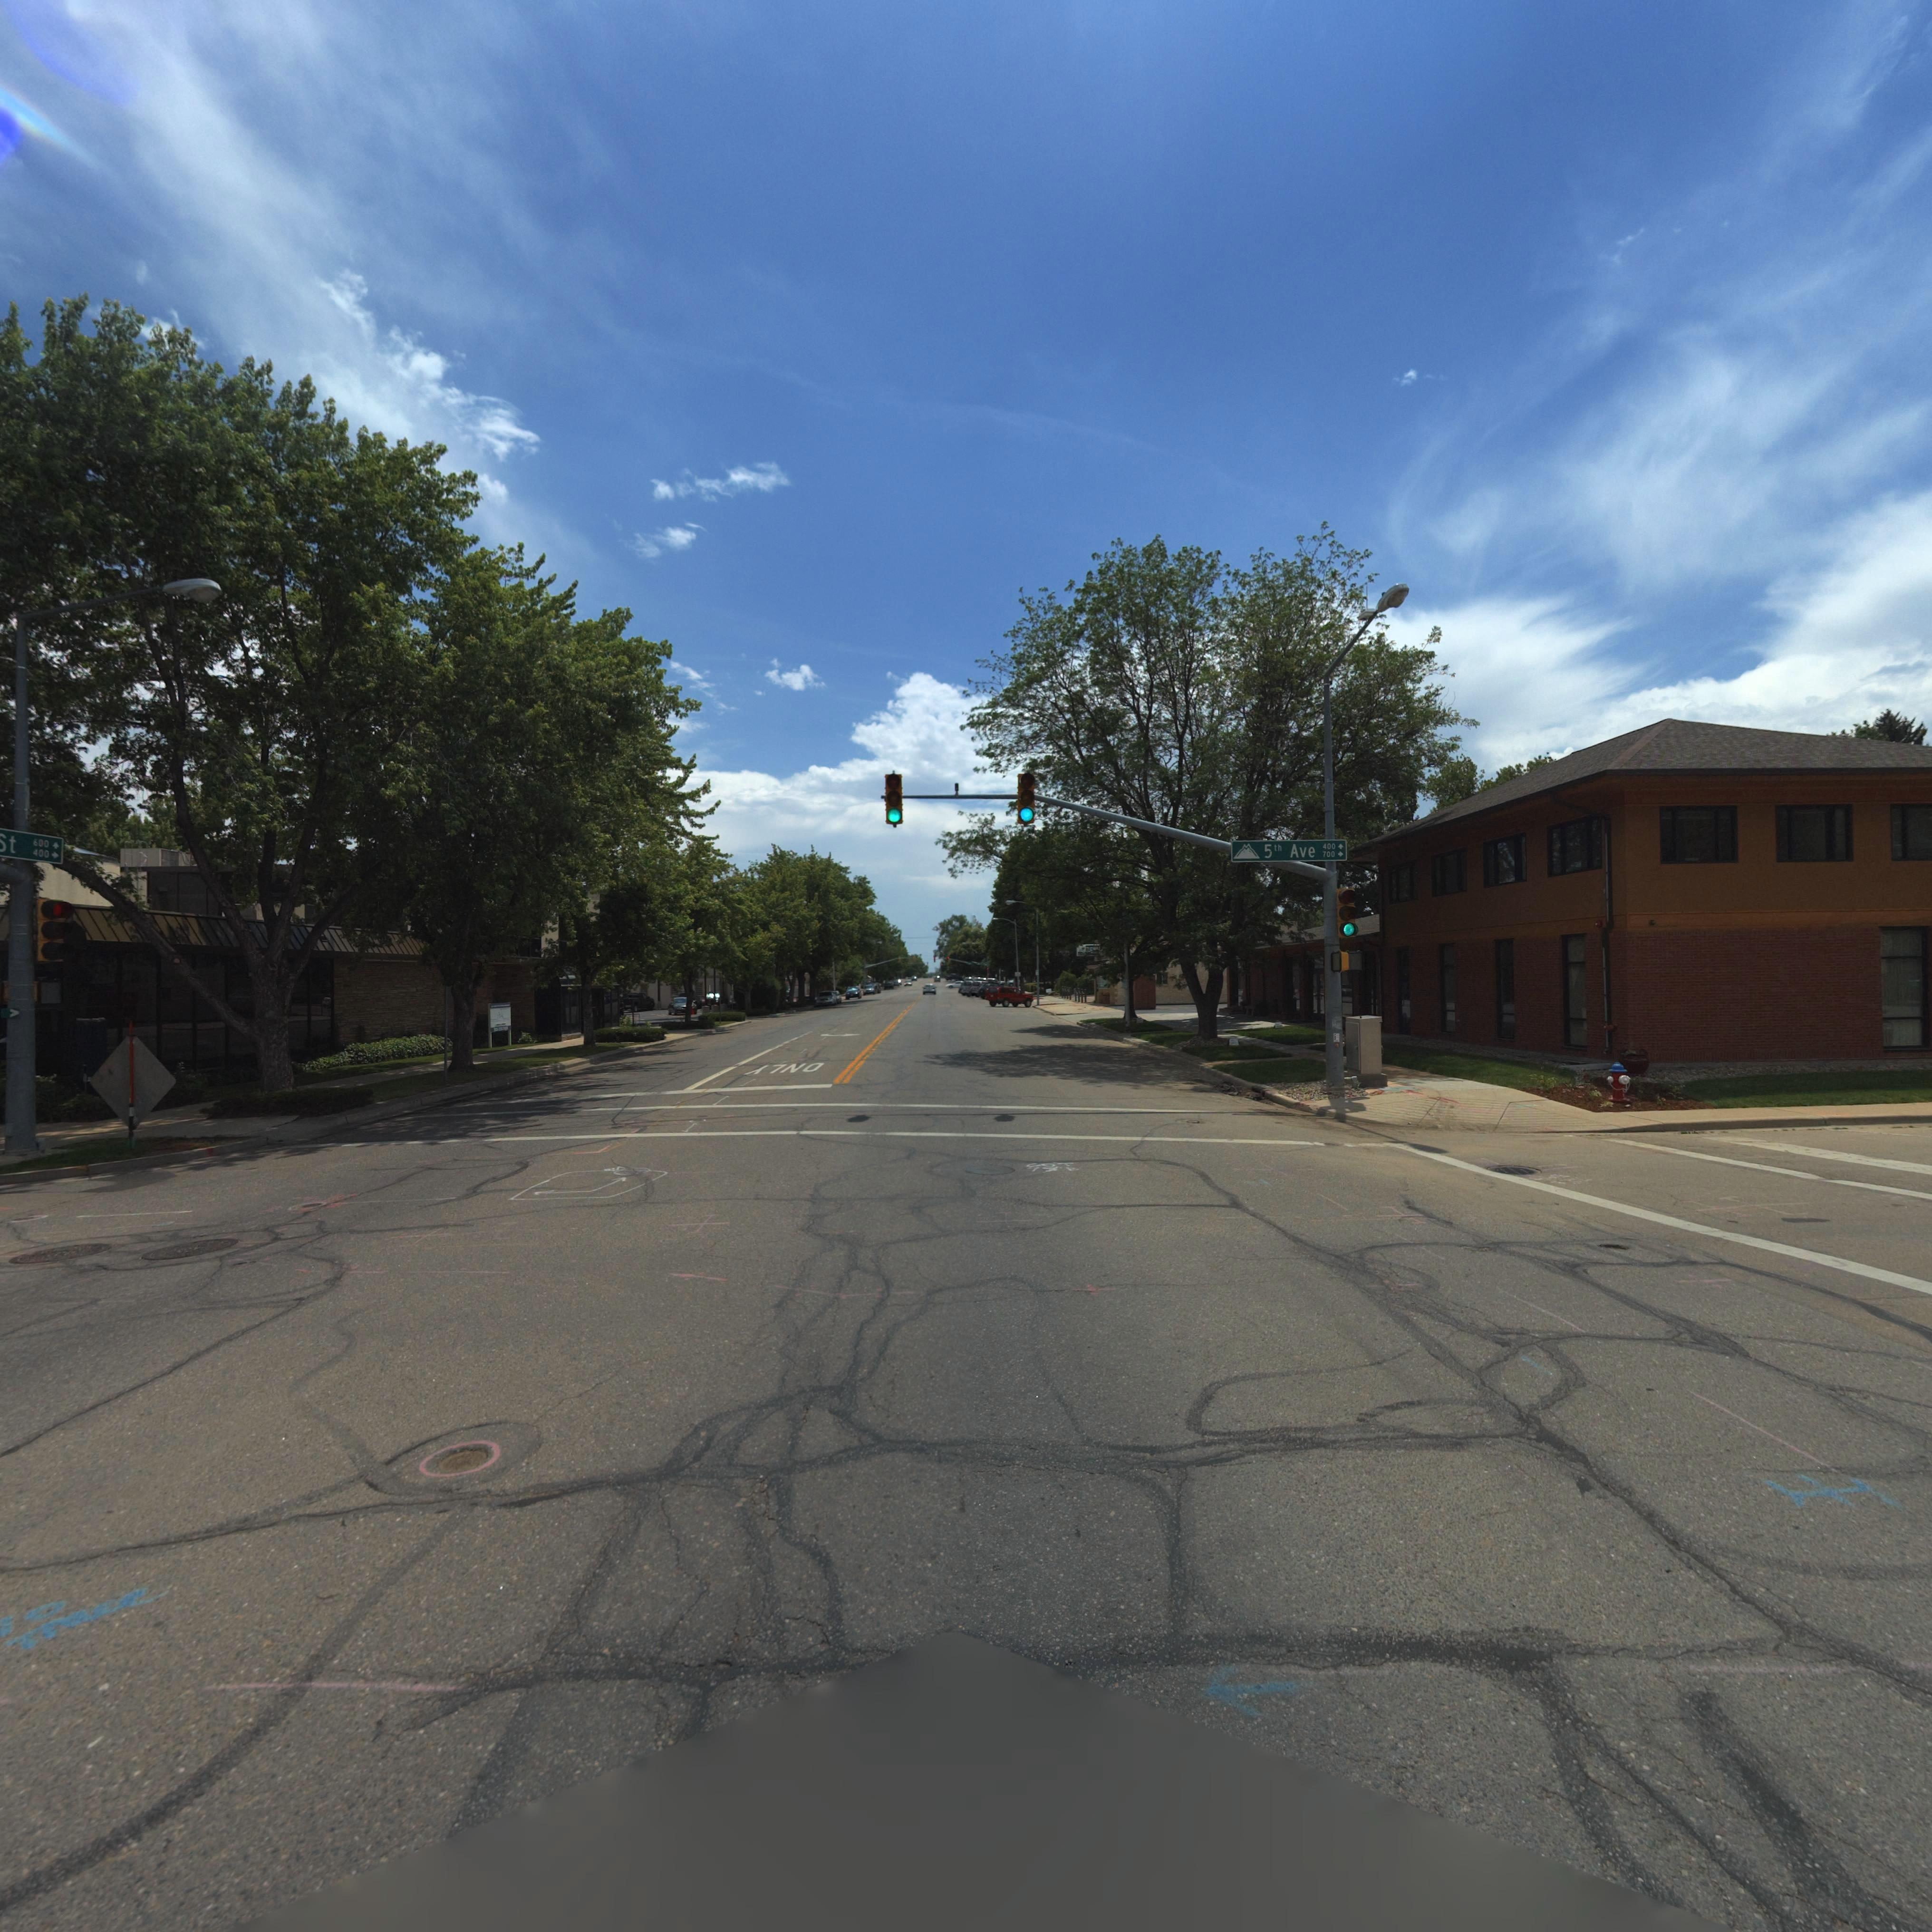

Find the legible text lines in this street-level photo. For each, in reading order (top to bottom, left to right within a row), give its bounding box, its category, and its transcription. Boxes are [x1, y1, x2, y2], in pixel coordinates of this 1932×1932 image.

[1, 832, 16, 854] StreetName: ******* *t
[33, 838, 49, 848] StreetNumberRange: 600
[32, 848, 59, 859] StreetNumberRange: 400->
[1264, 843, 1315, 859] StreetName: 5th Ave
[1322, 842, 1335, 850] StreetNumberRange: 400
[1322, 850, 1343, 858] StreetNumberRange: 700->